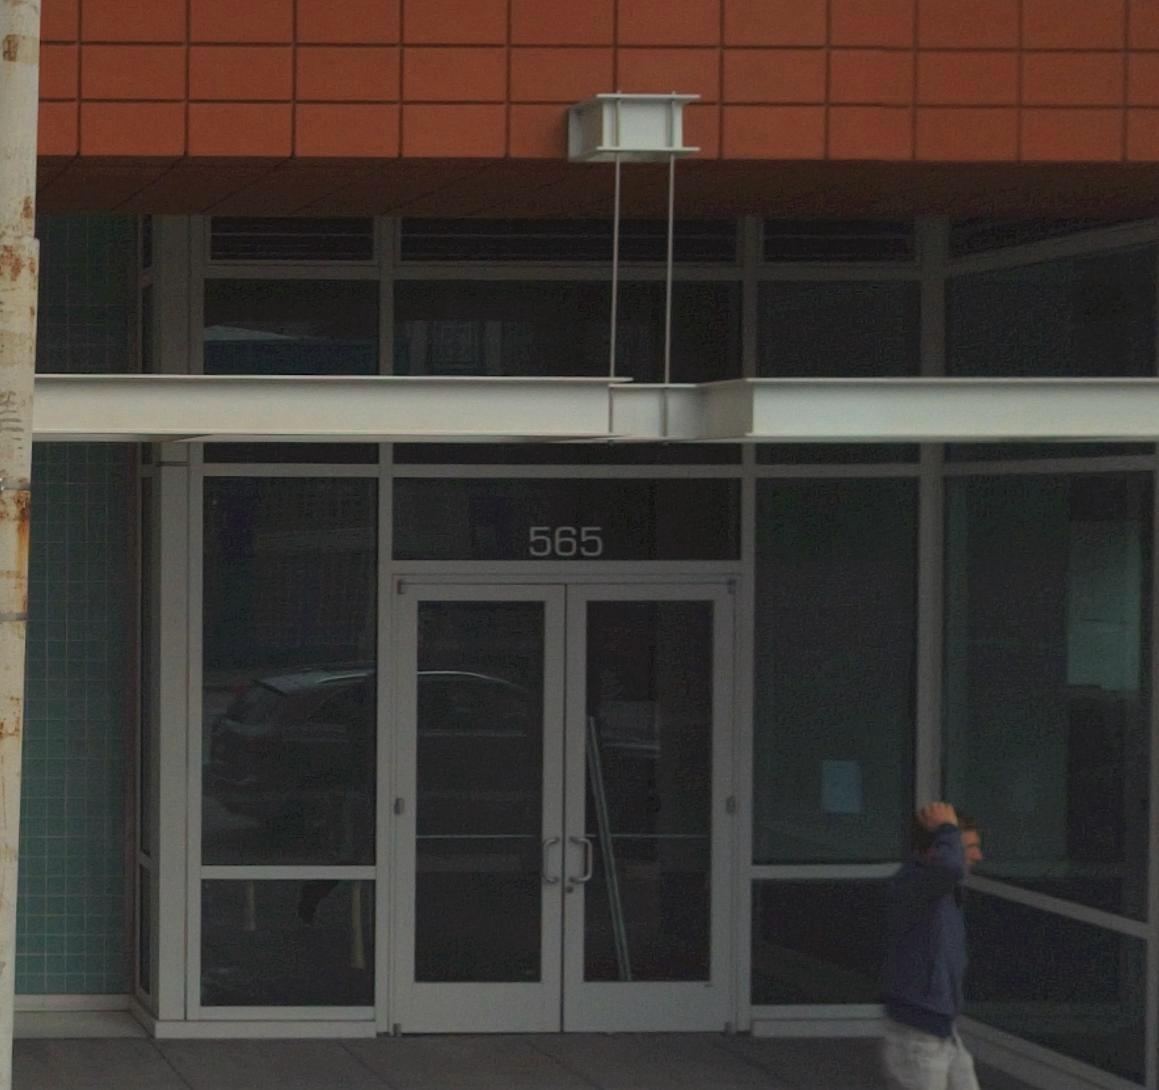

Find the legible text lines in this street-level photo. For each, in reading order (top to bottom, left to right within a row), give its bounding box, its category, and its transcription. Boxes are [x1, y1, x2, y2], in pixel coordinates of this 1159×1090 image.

[526, 523, 606, 559] StreetNumber: 565